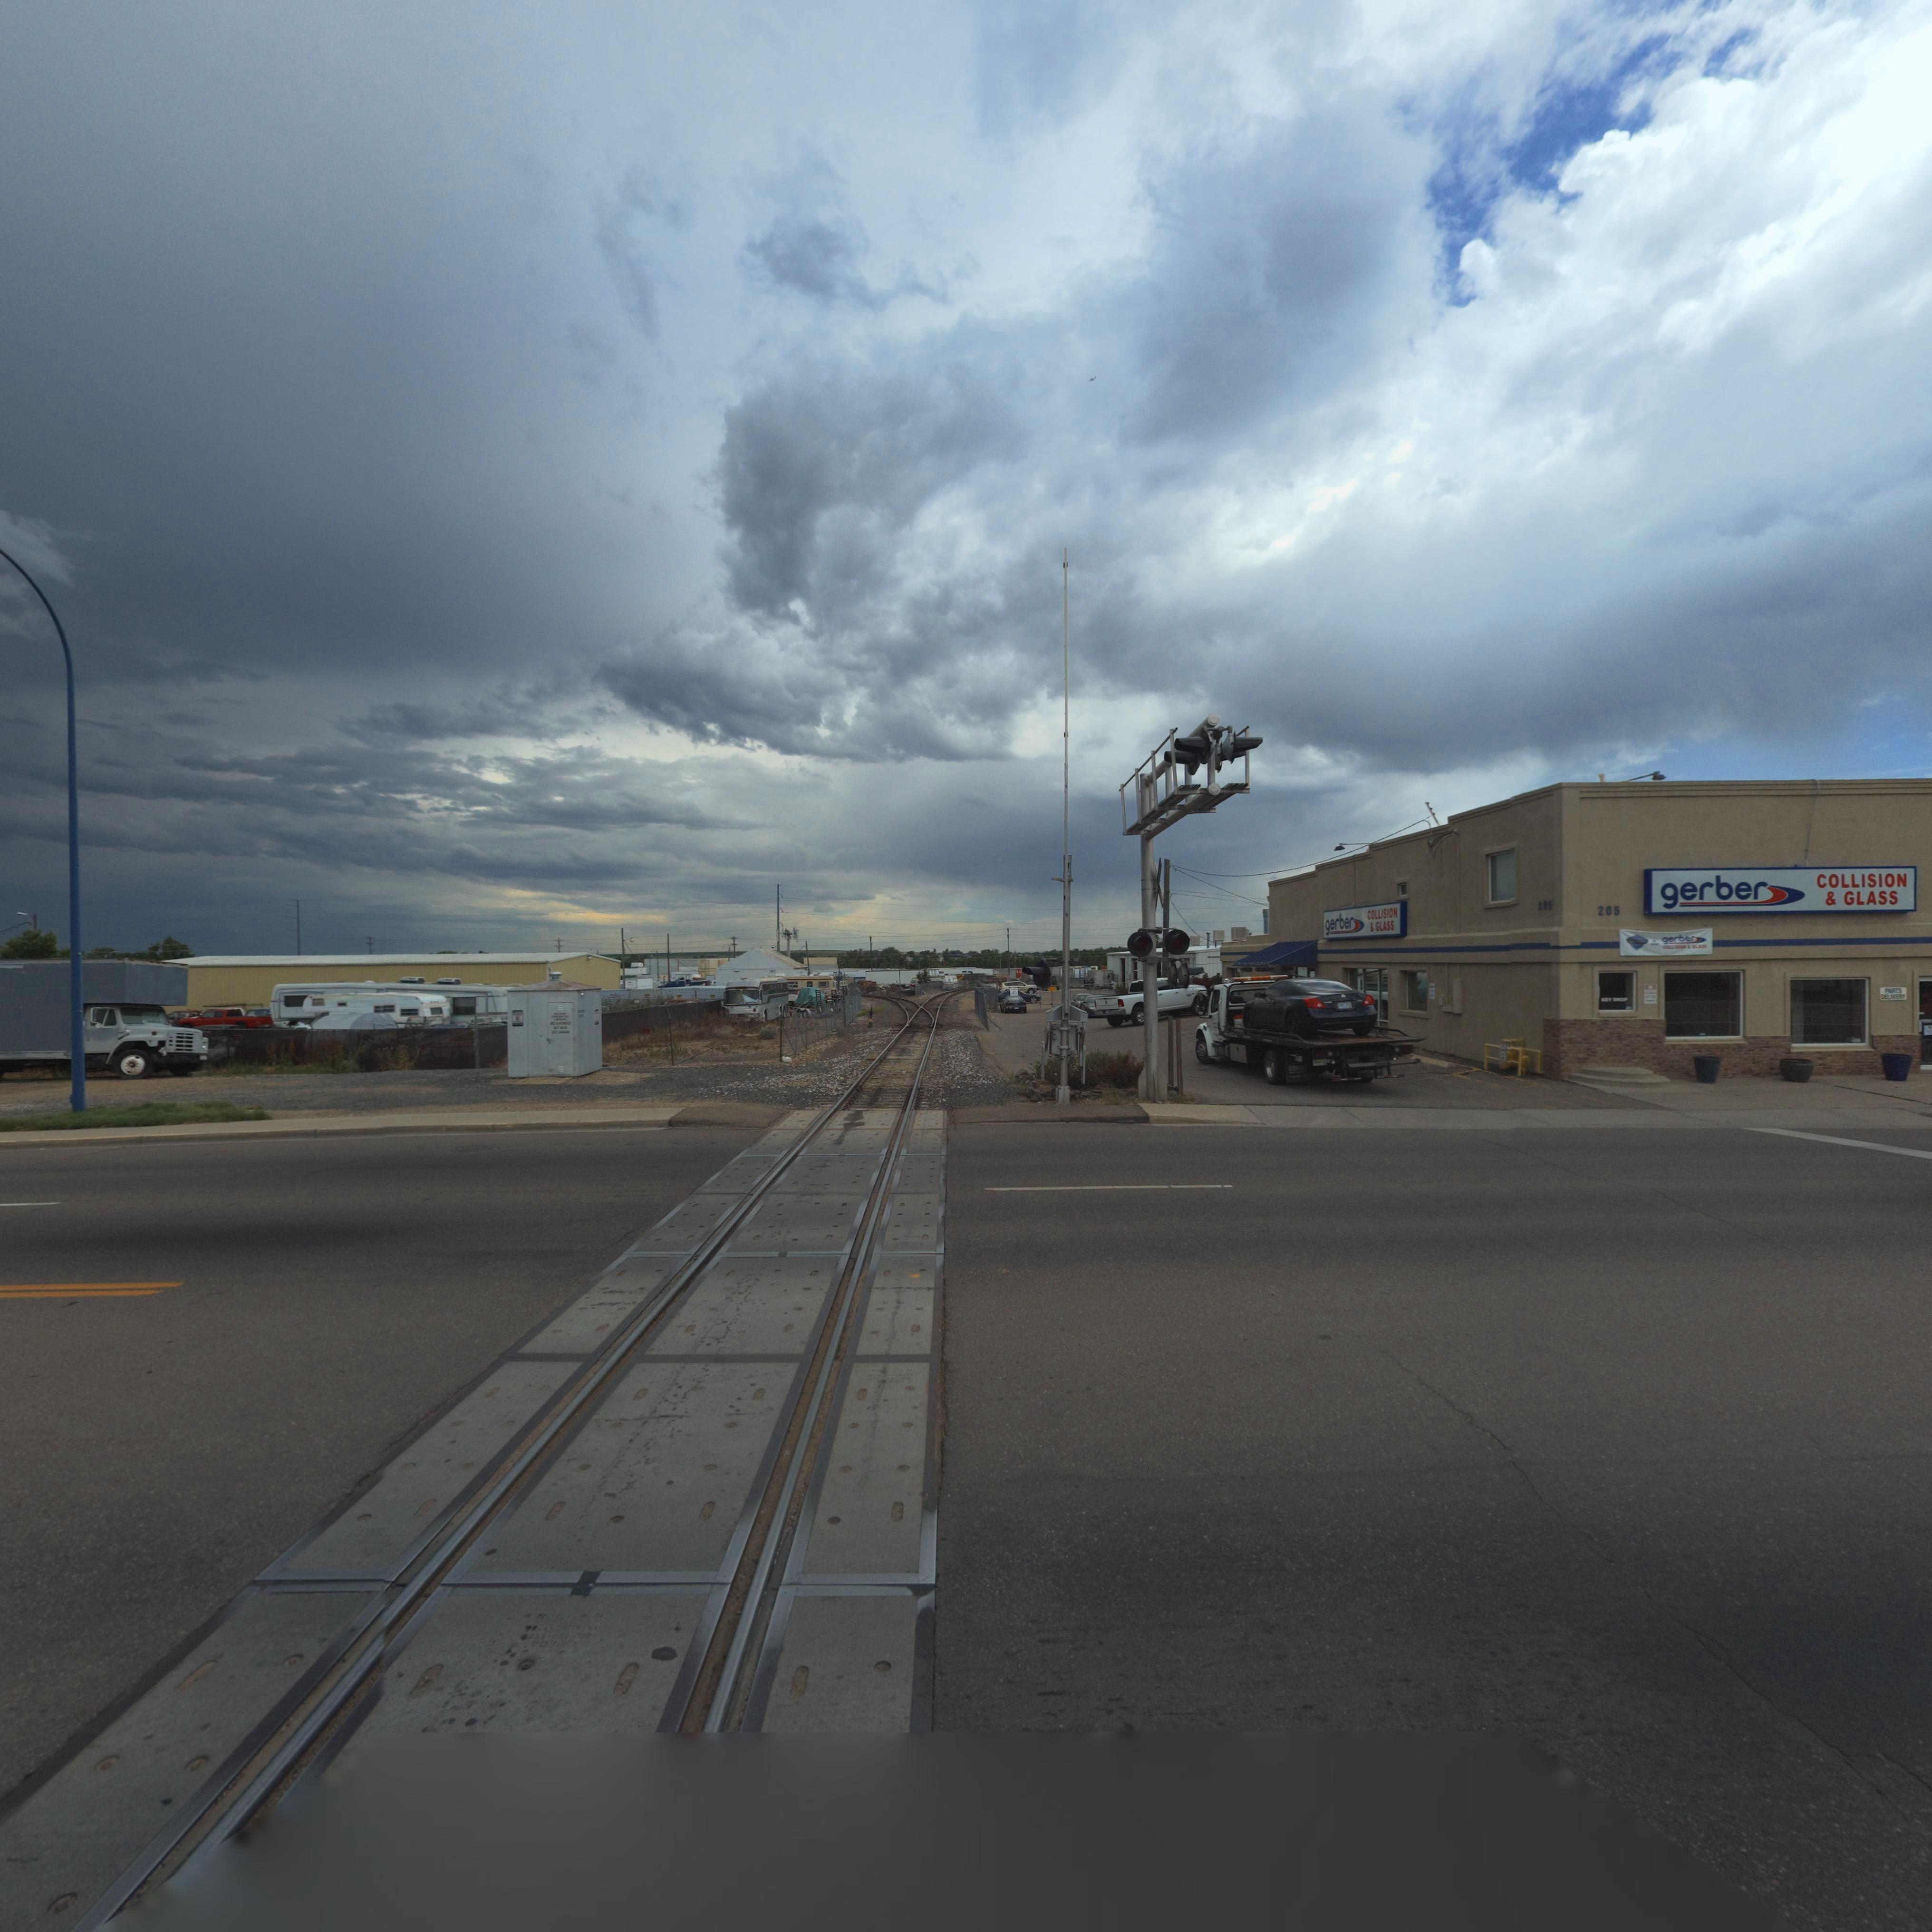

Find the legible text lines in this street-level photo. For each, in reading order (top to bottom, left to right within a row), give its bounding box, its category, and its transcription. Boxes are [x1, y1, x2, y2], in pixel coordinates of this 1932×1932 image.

[1816, 872, 1908, 889] BusinessName: COLLISION
[1660, 873, 1769, 910] BusinessName: gerber
[1825, 889, 1898, 906] BusinessName: * GLASS
[1366, 907, 1398, 920] BusinessName: COLLISION
[1536, 899, 1553, 912] StreetNumber: 205
[1597, 905, 1621, 916] StreetNumber: 205
[1325, 913, 1354, 936] BusinessName: gerber
[1370, 919, 1394, 932] BusinessName: * GLASS
[1662, 933, 1695, 945] StreetNumber: gerber